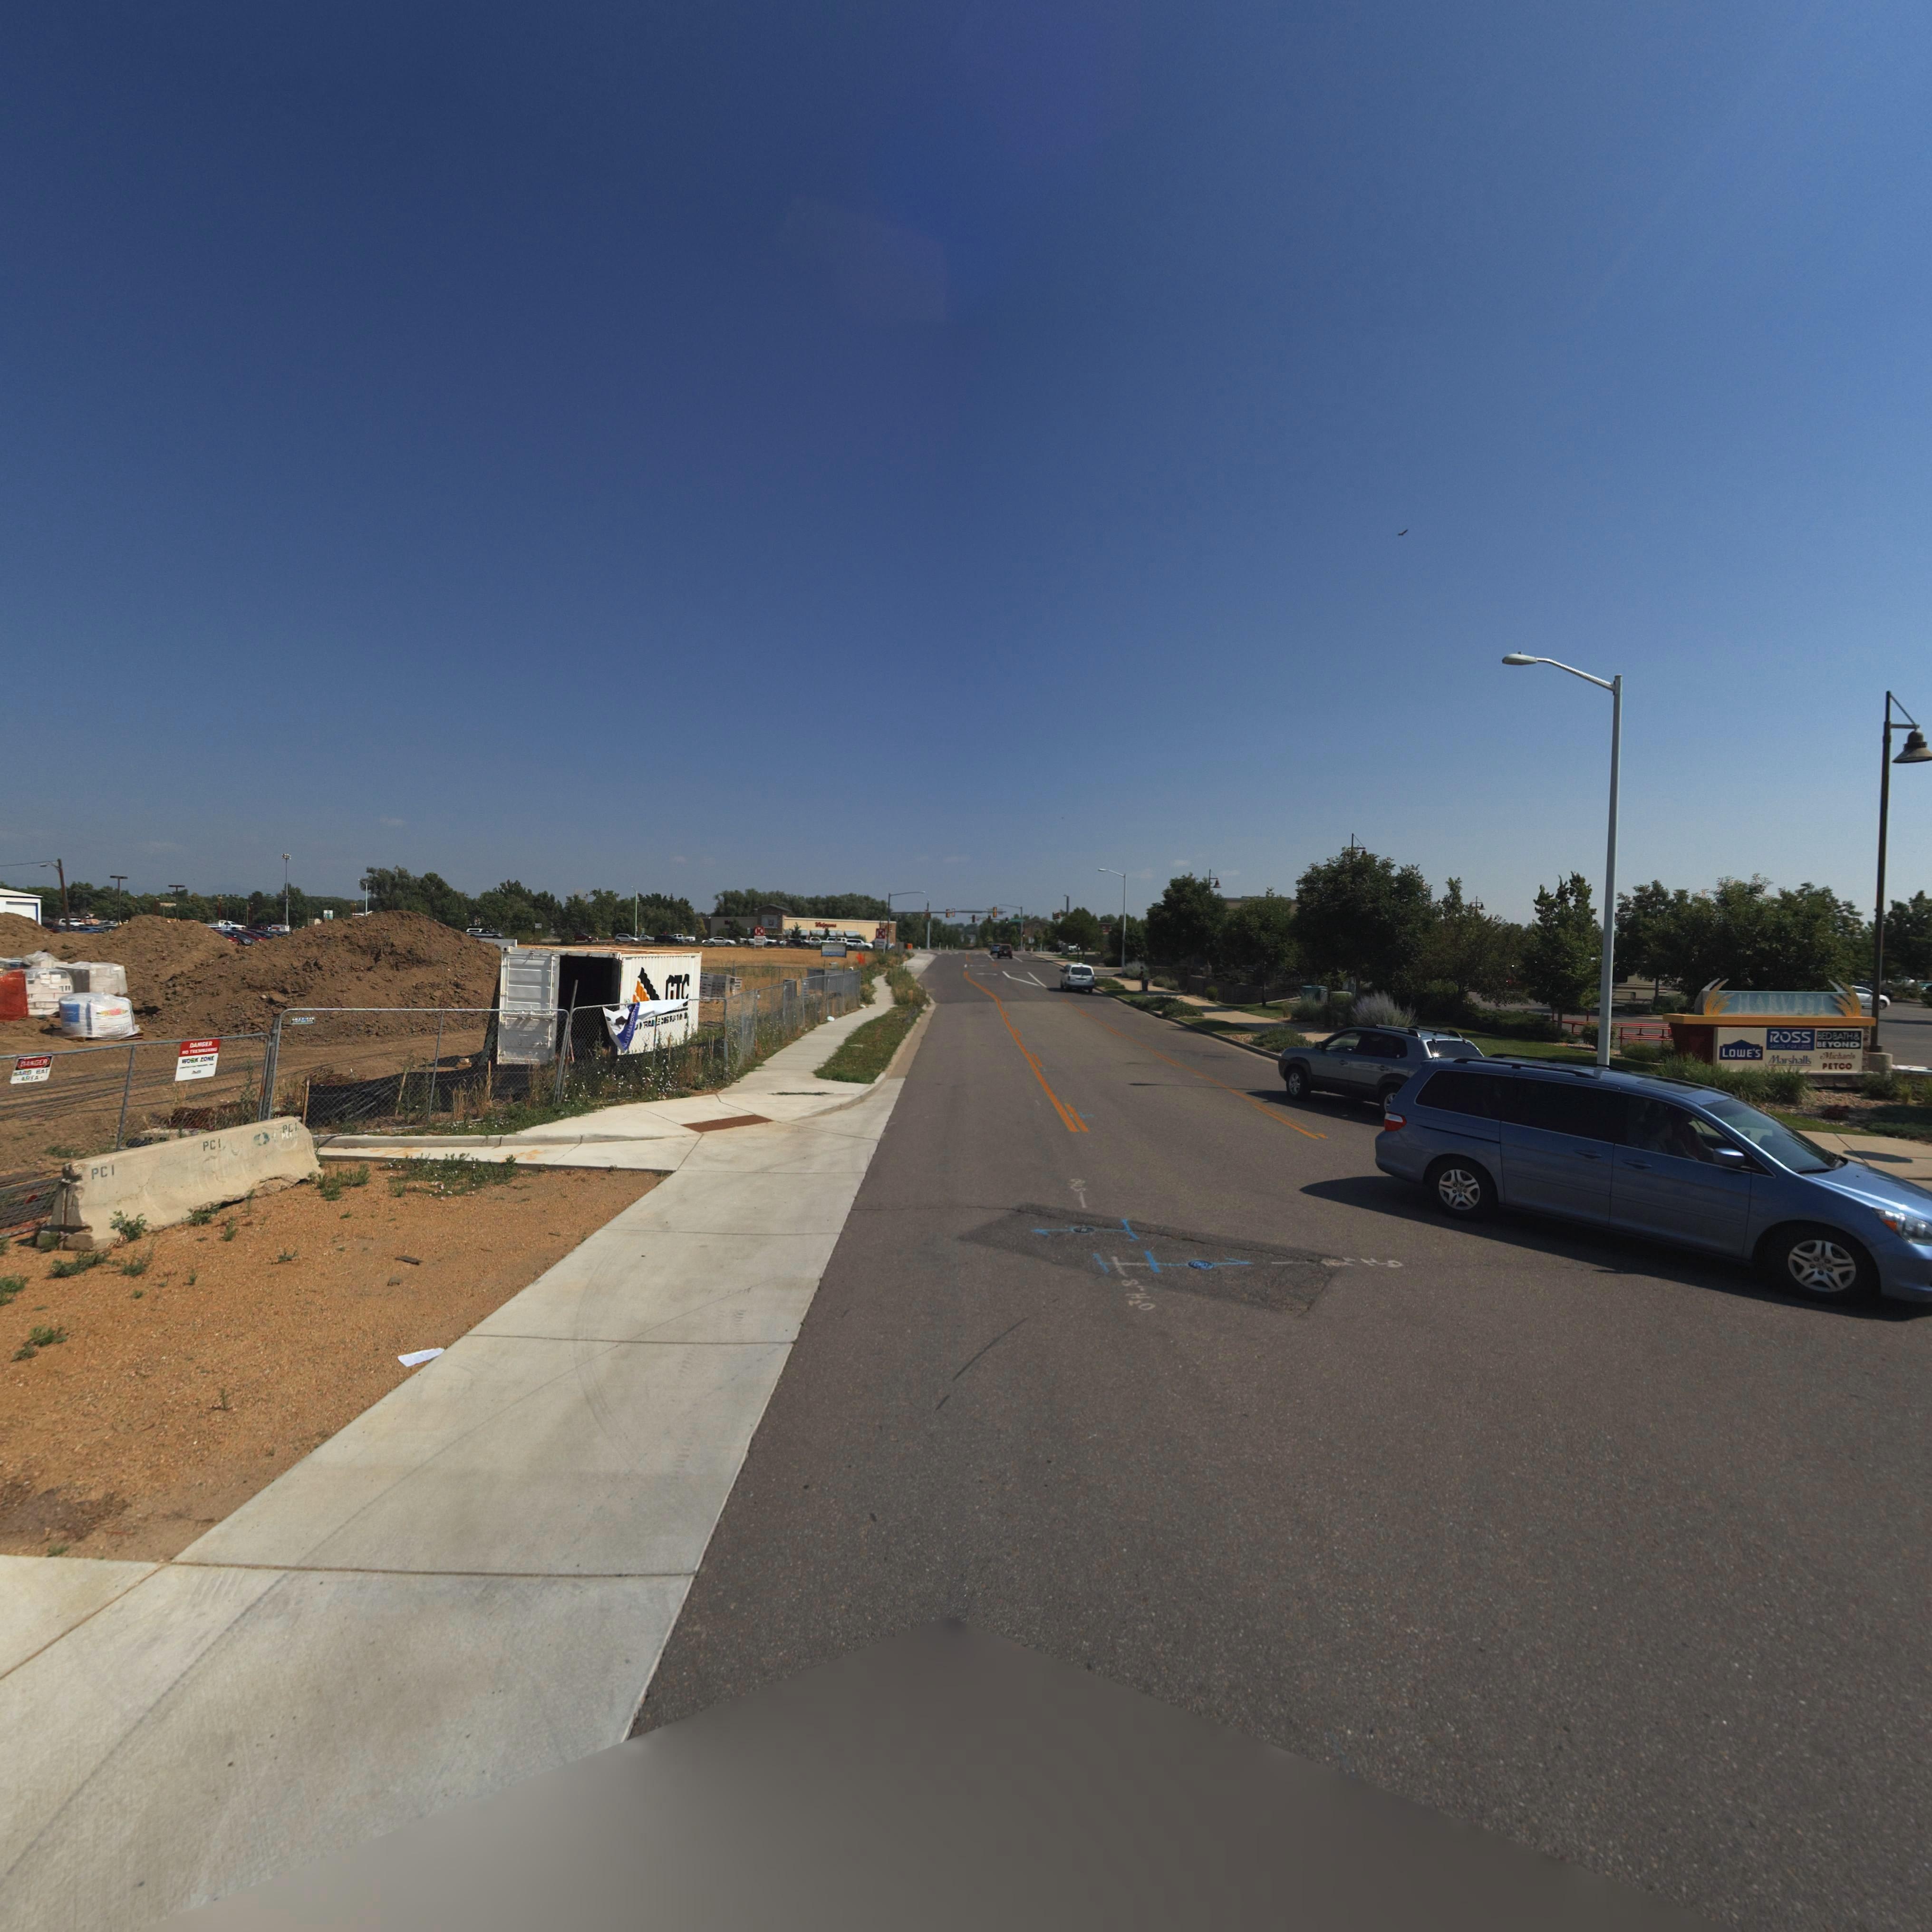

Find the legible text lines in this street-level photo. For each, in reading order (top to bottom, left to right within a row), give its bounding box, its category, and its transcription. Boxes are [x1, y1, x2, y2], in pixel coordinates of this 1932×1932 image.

[1769, 1031, 1812, 1043] BusinessName: ROSS
[1816, 1031, 1854, 1040] BusinessName: BEDBATH
[1816, 1041, 1861, 1048] BusinessName: BEYOND
[1722, 1047, 1761, 1057] BusinessName: LOWE'S
[1767, 1053, 1813, 1065] BusinessName: Marshalls
[1819, 1050, 1857, 1061] BusinessName: Michaels
[1822, 1062, 1854, 1070] BusinessName: PETCO